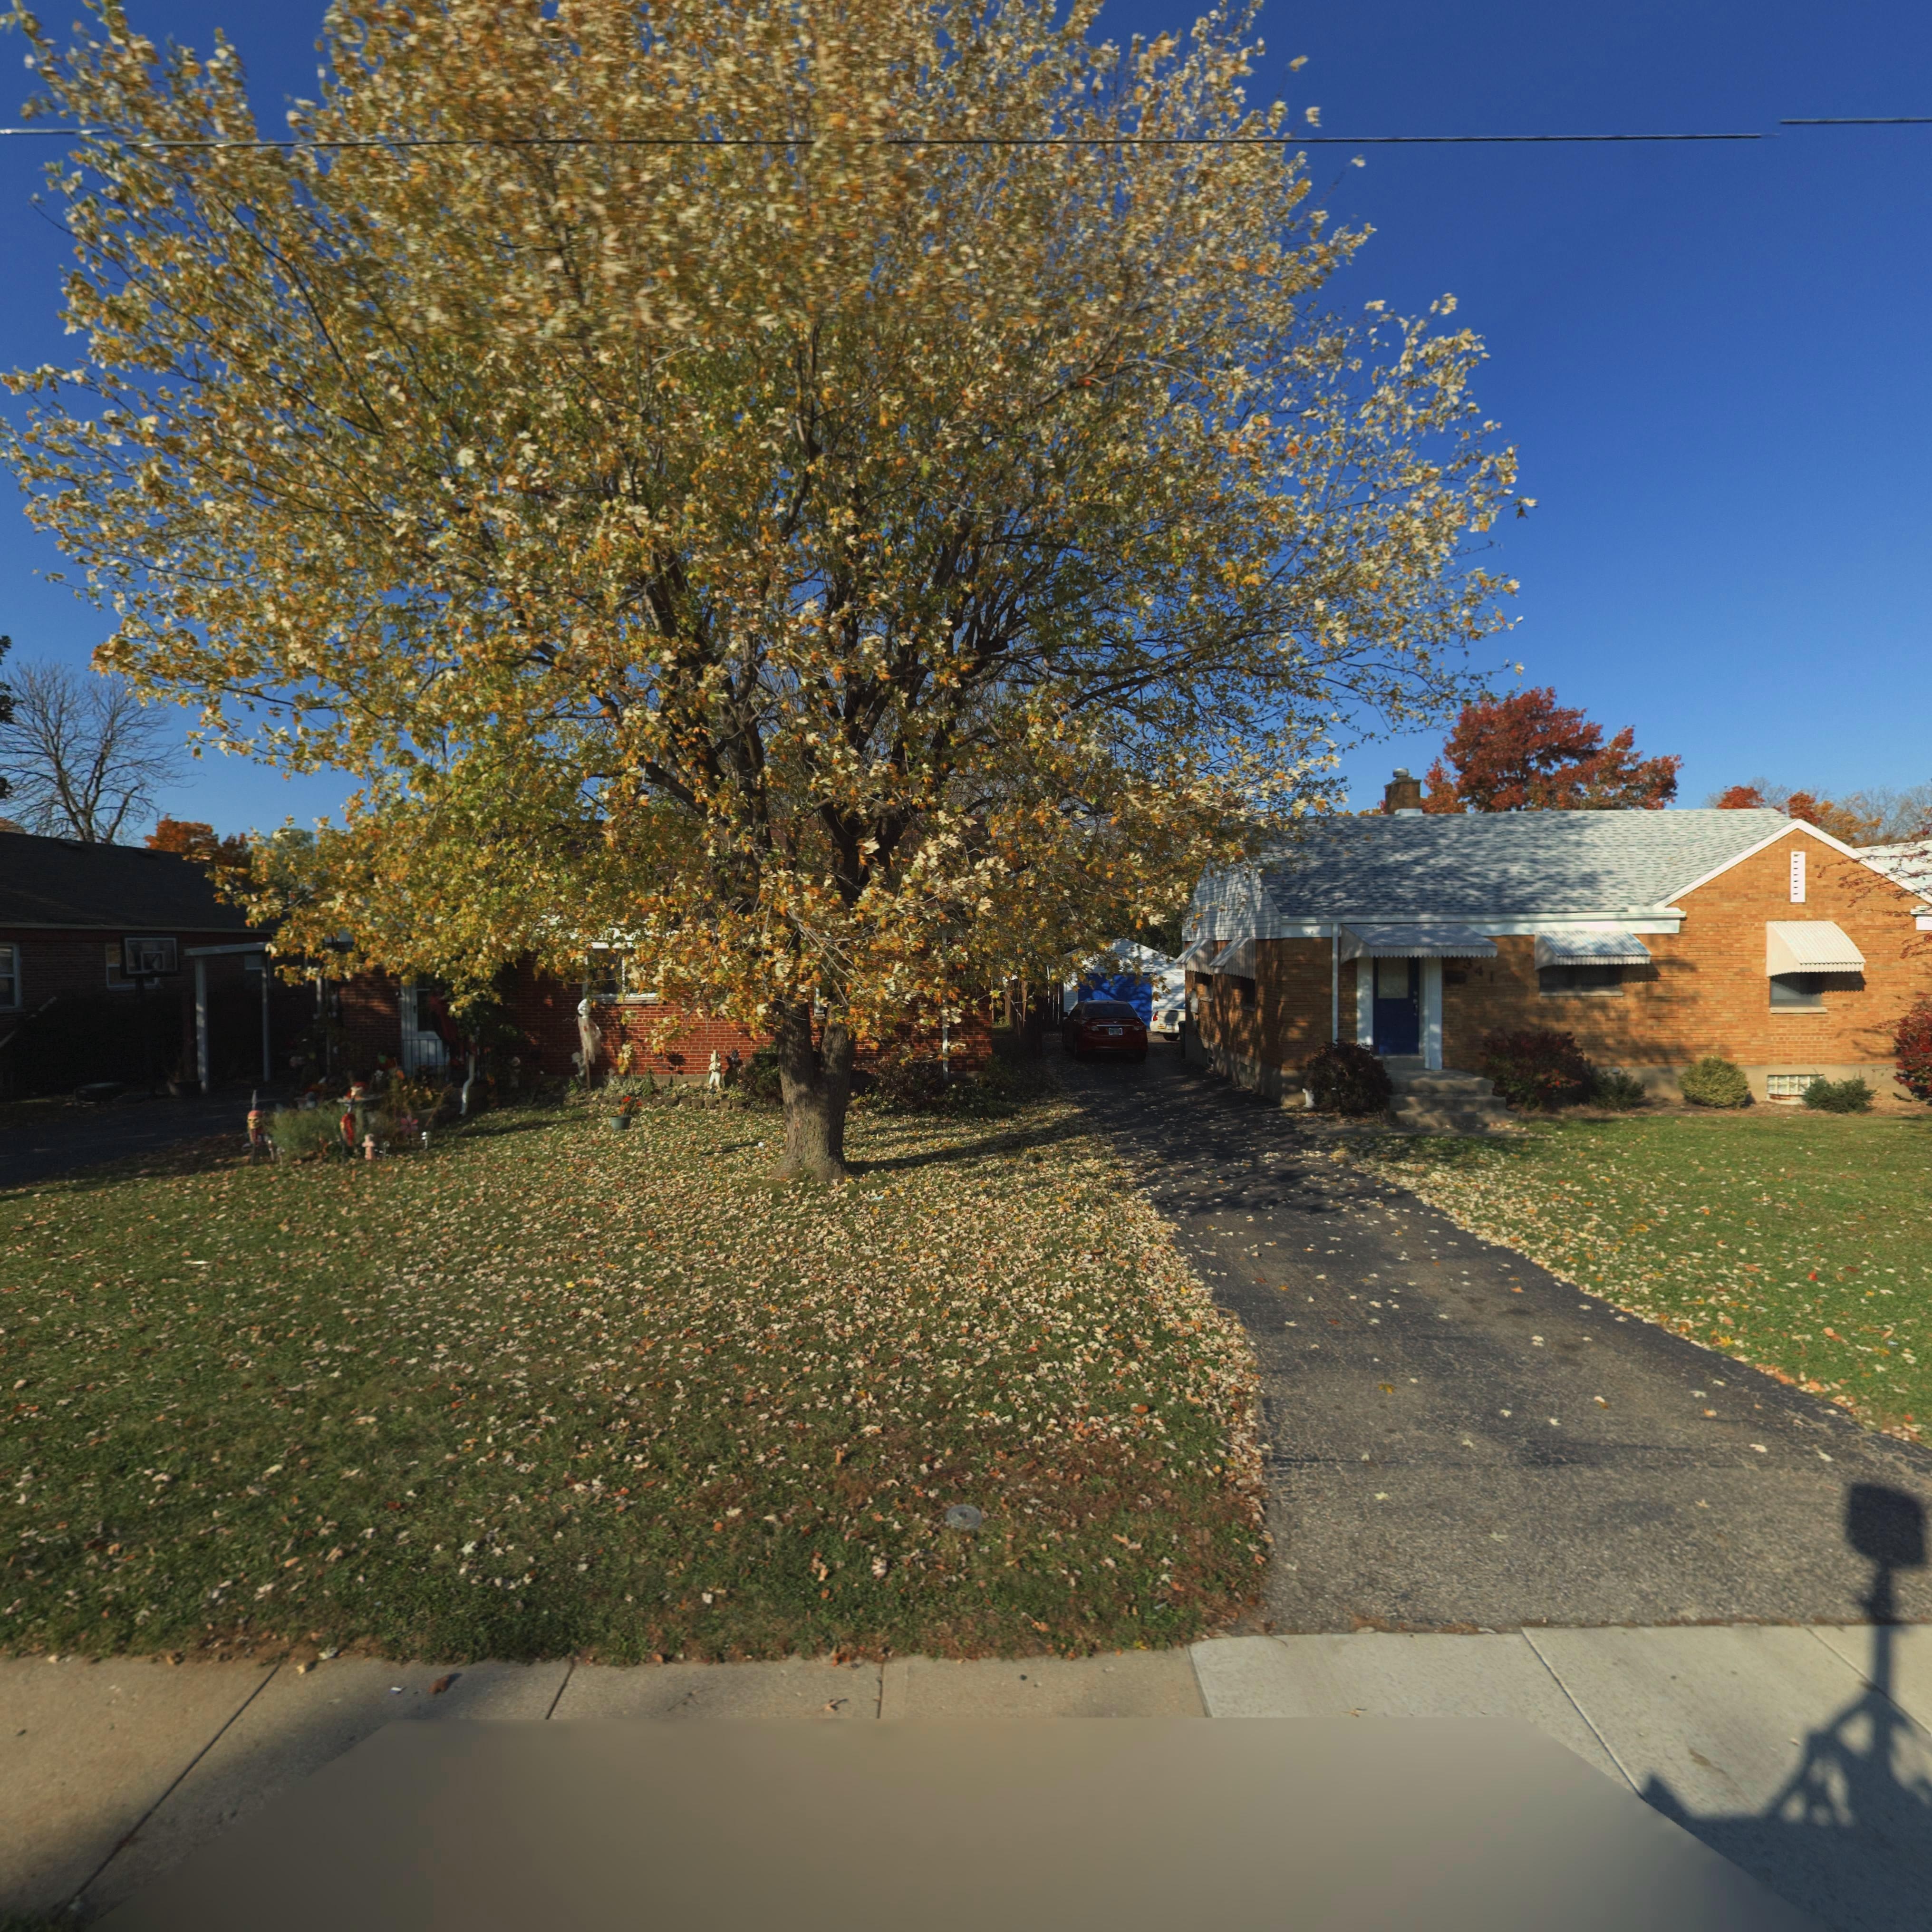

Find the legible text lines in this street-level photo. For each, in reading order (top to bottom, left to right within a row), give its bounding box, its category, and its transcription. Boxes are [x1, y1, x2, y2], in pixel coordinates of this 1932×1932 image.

[1462, 956, 1496, 983] StreetNumber: 341